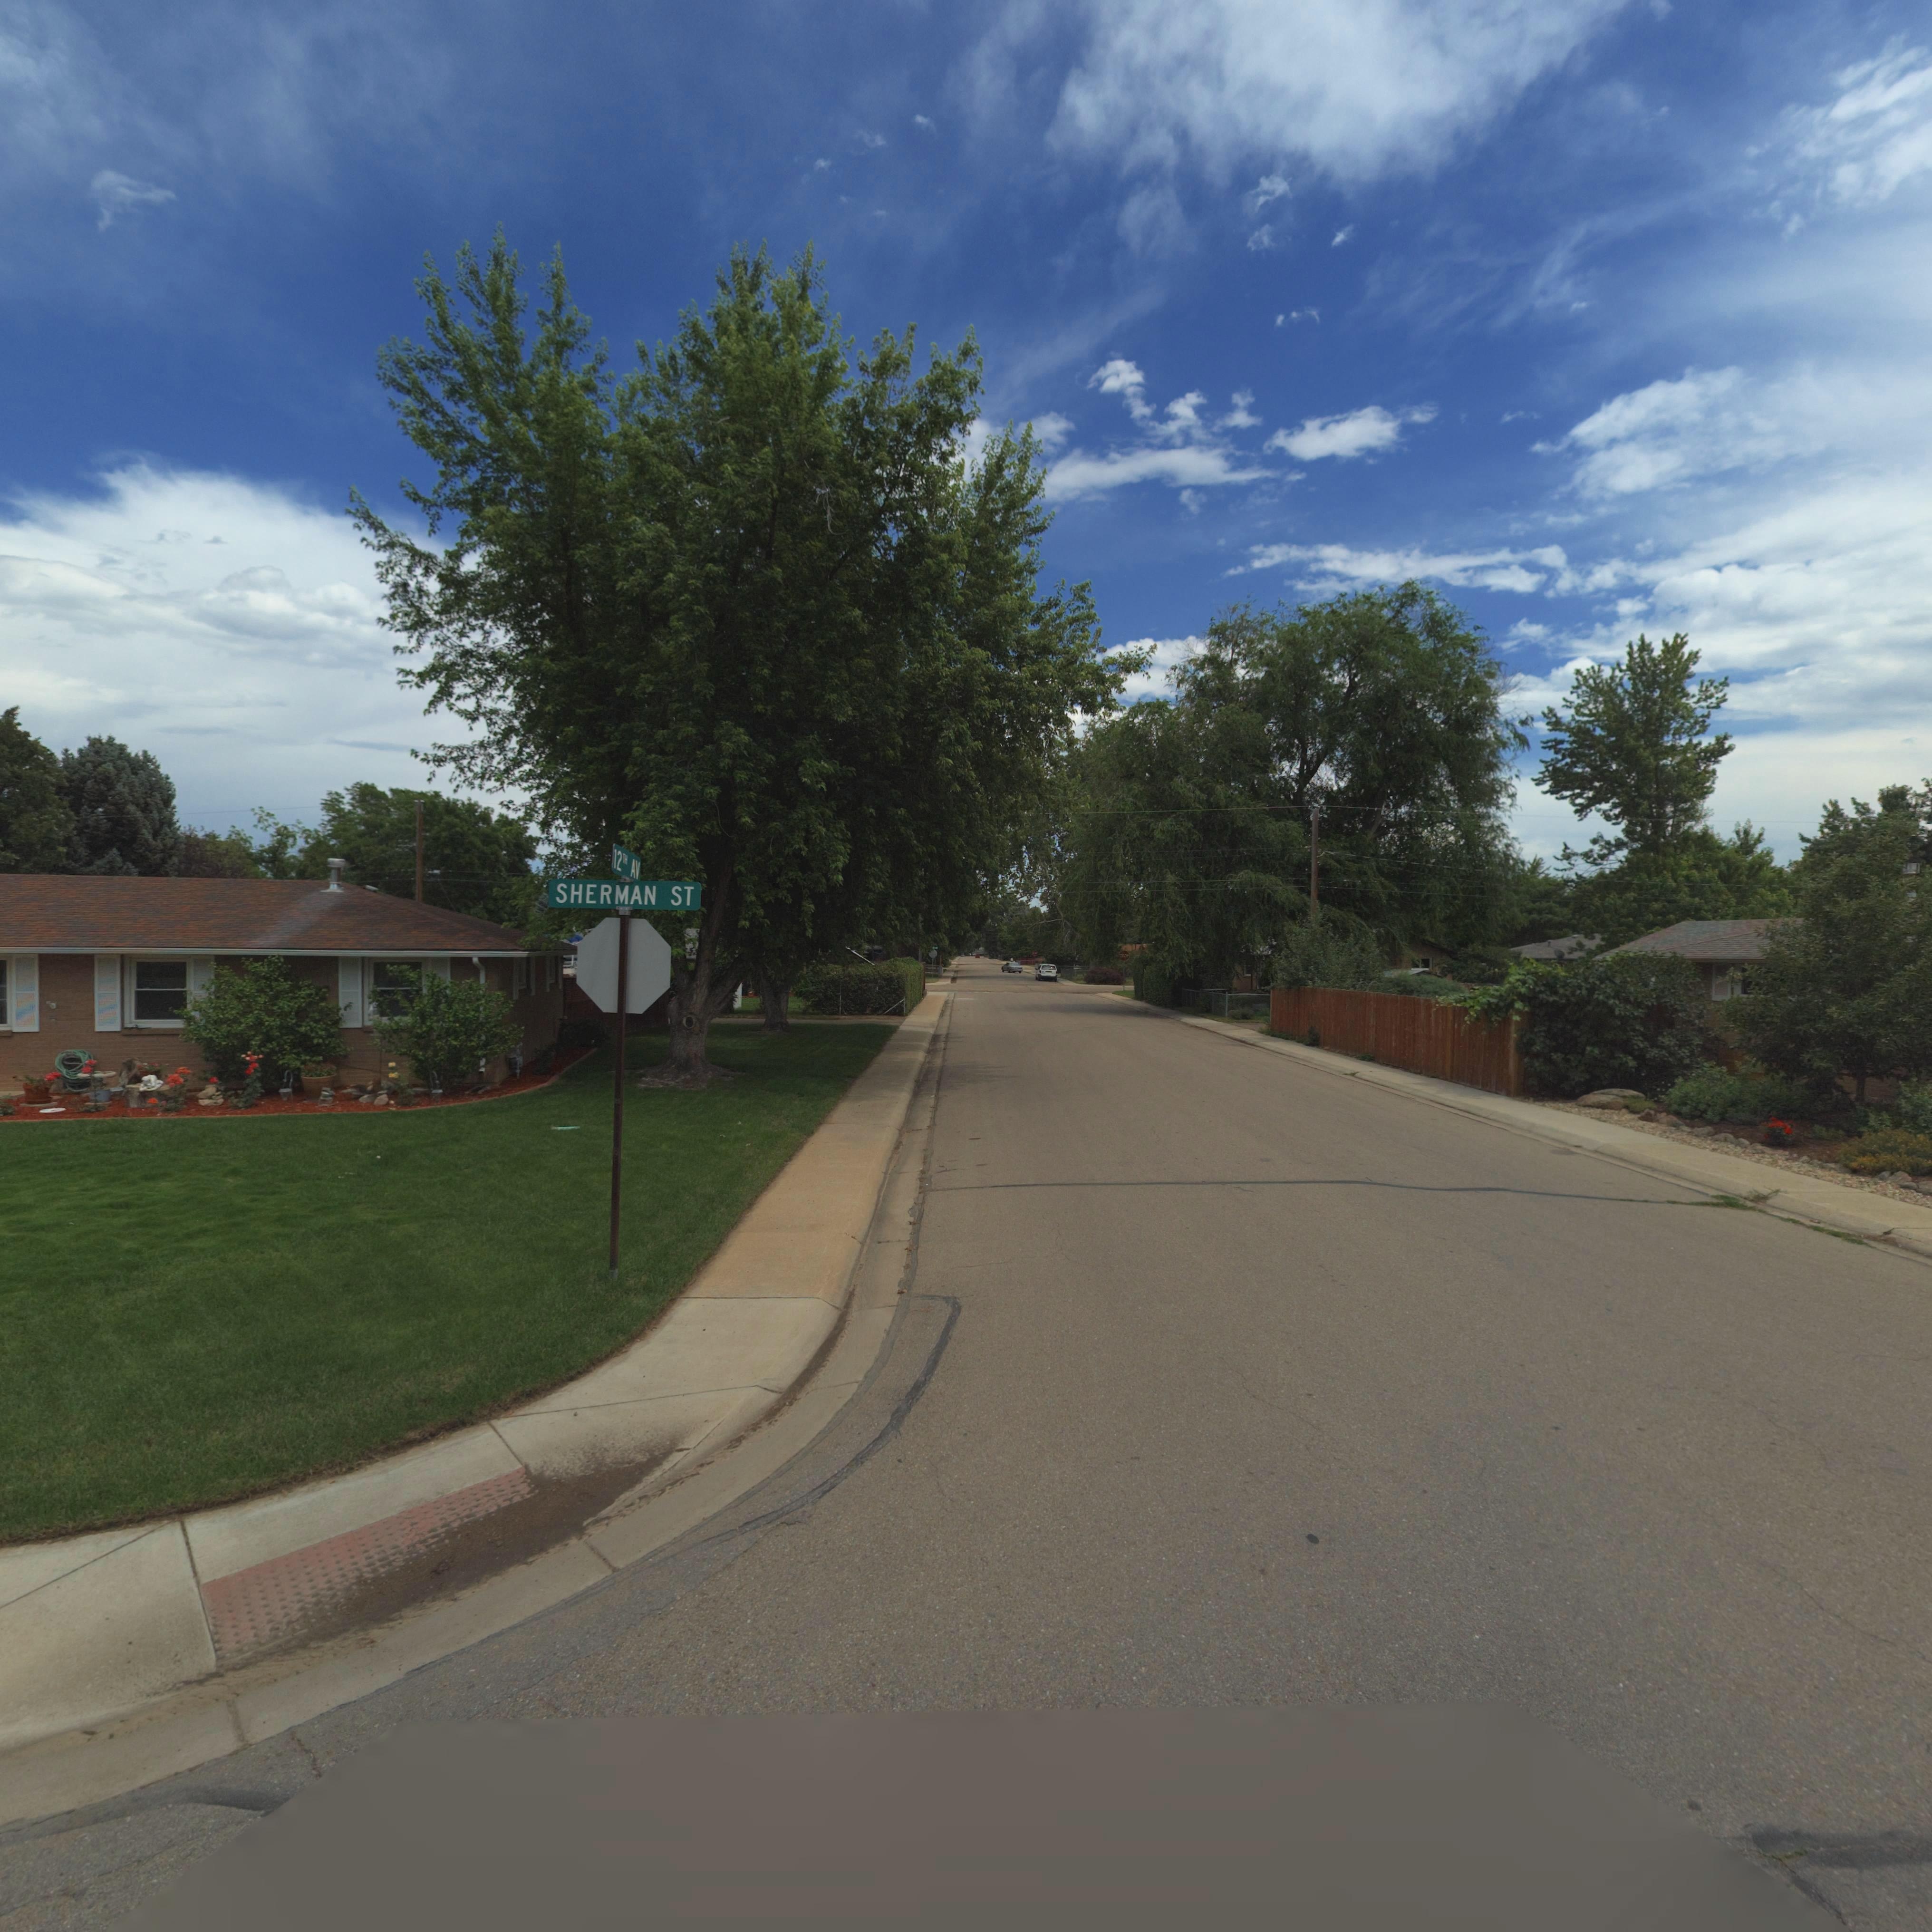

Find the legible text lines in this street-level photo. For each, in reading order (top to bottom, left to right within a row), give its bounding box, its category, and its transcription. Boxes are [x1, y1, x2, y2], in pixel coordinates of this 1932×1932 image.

[613, 847, 641, 880] StreetName: 12TH AV
[555, 882, 695, 905] StreetName: SHERMAN ST